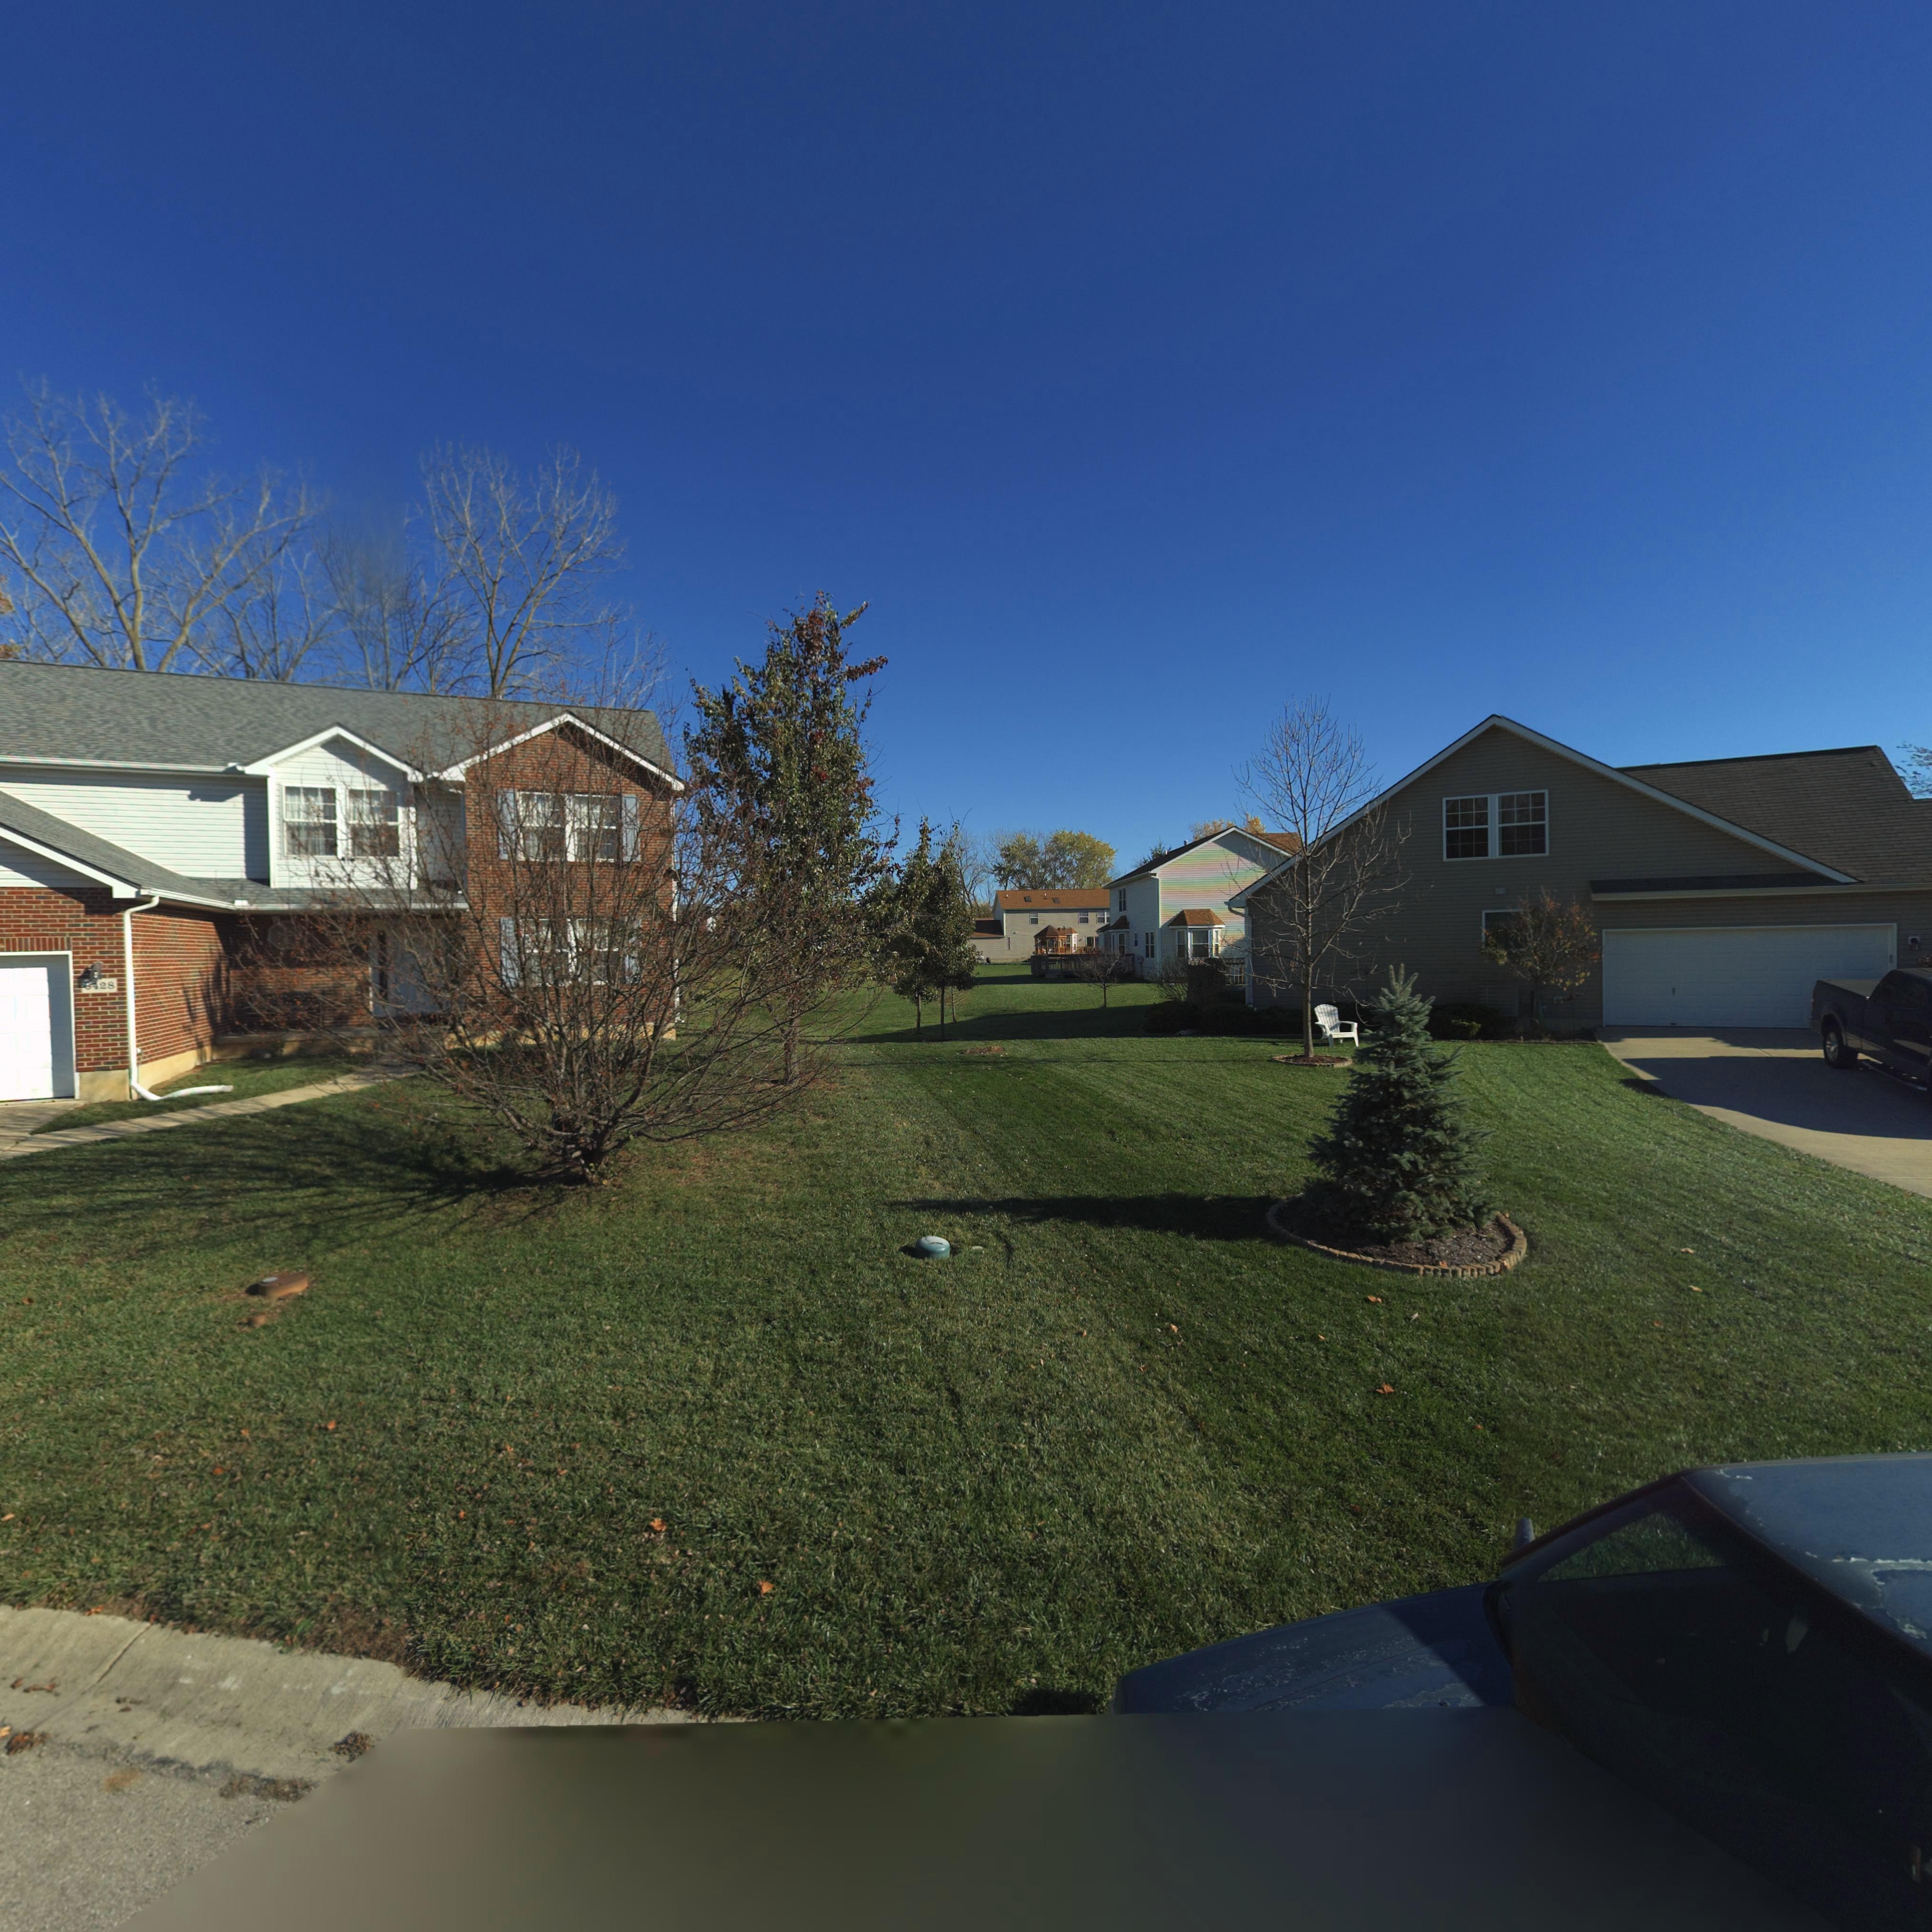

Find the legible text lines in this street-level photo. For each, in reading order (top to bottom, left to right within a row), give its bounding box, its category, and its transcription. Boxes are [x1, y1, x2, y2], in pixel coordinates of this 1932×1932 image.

[83, 980, 116, 991] StreetNumber: 6*28